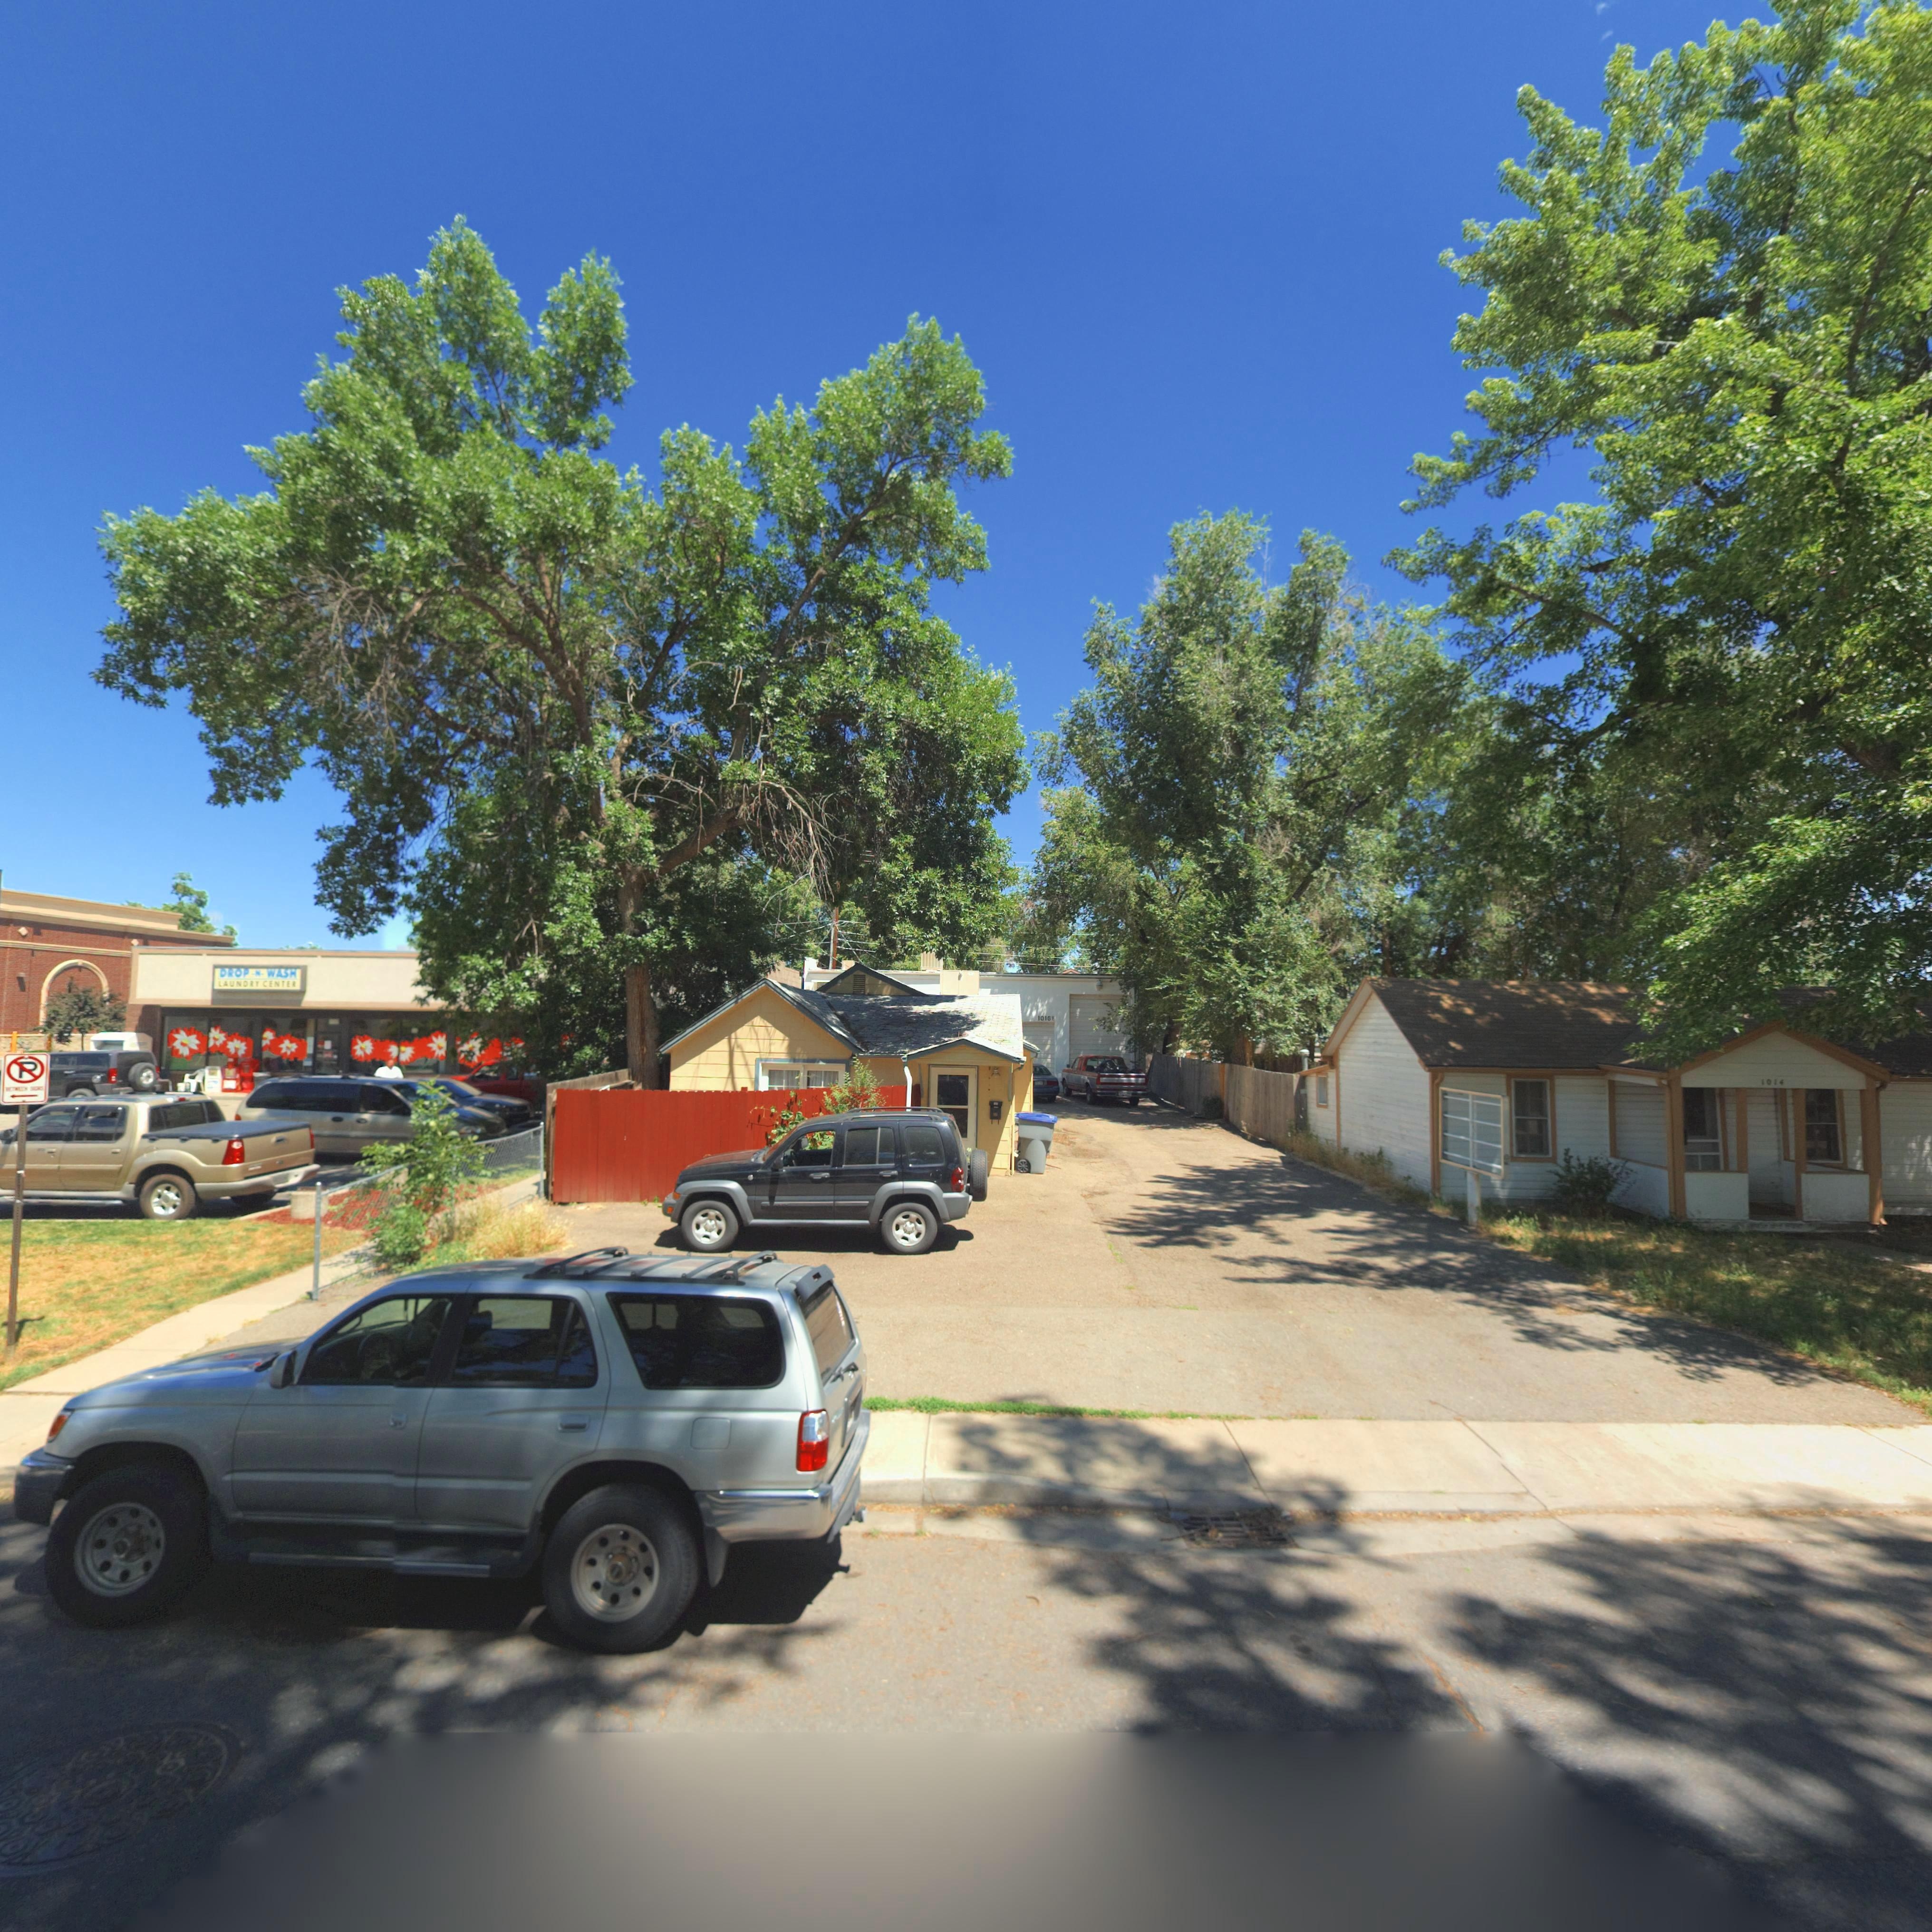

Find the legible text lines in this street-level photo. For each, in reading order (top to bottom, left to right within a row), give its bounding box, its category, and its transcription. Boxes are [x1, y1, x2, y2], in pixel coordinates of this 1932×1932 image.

[219, 967, 297, 978] BusinessName: DROP *N* WASH
[218, 980, 296, 987] BusinessName: LAUNDRY CENTER
[444, 1011, 452, 1019] StreetNumber: 0
[1038, 1015, 1051, 1021] StreetNumber: 1016
[1761, 1079, 1784, 1085] StreetNumber: 1014